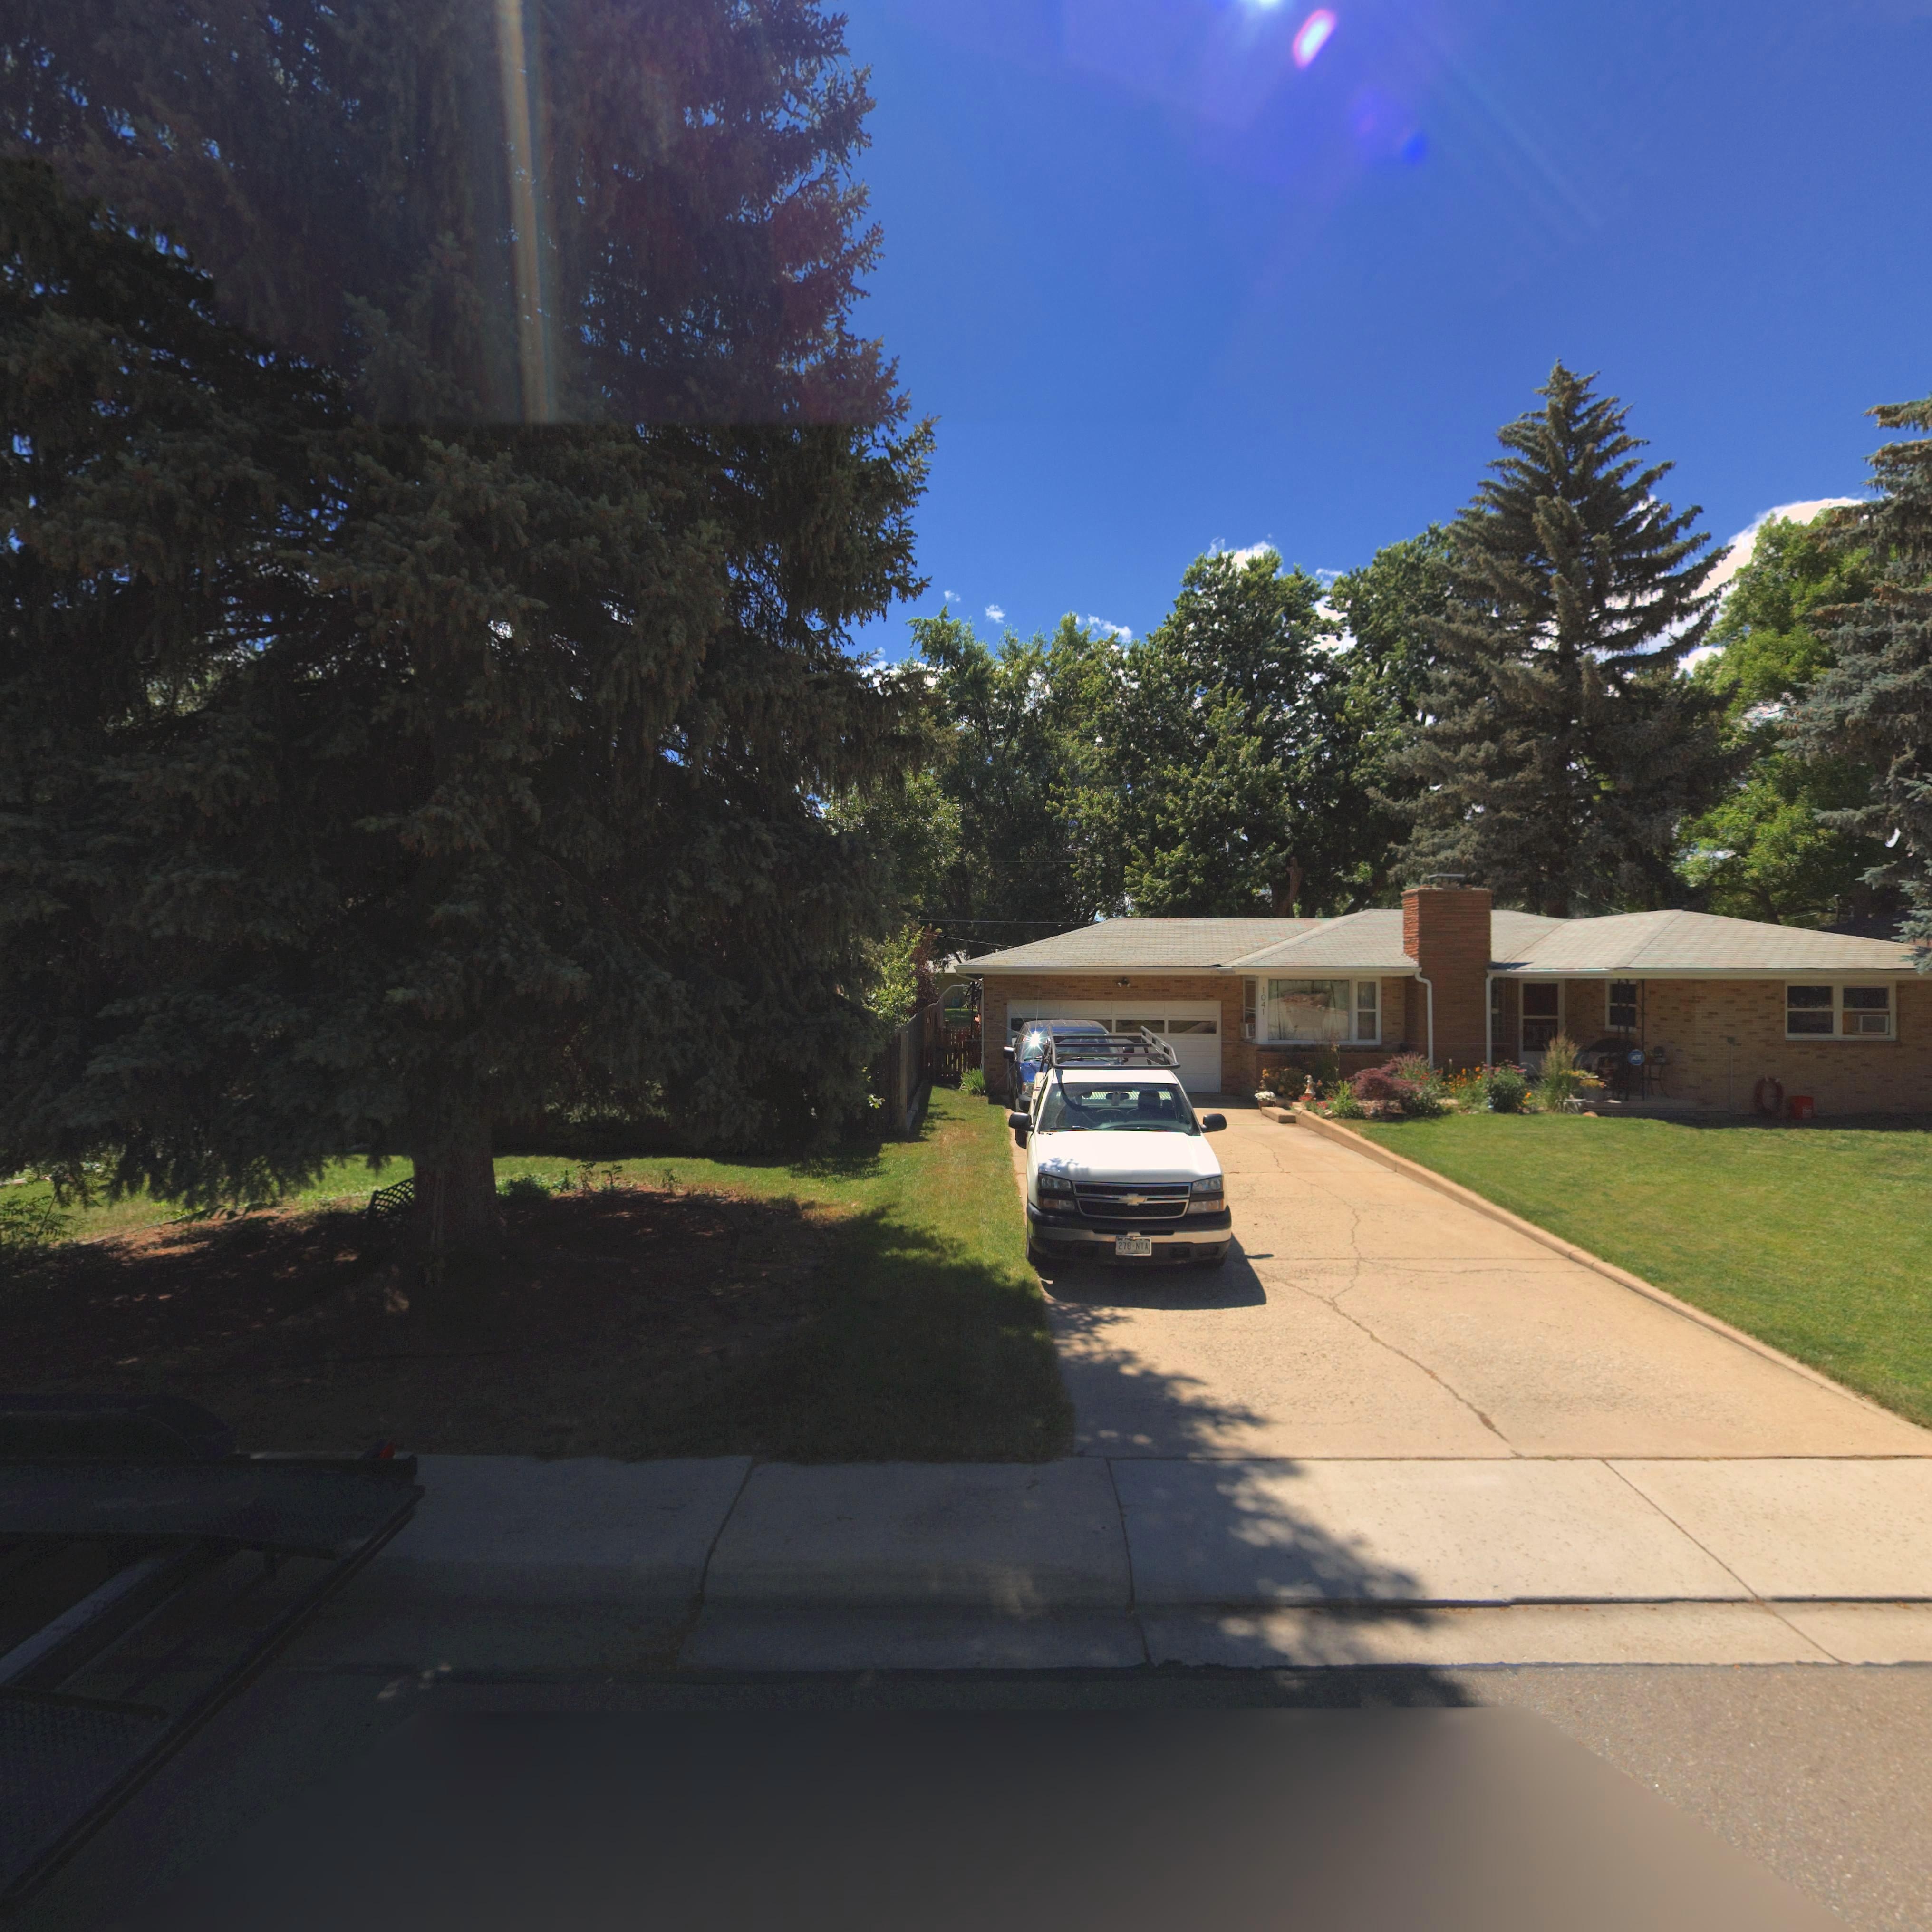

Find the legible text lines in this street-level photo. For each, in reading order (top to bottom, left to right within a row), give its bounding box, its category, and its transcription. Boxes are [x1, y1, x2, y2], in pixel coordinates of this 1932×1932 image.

[1260, 986, 1266, 1015] StreetNumber: 1041